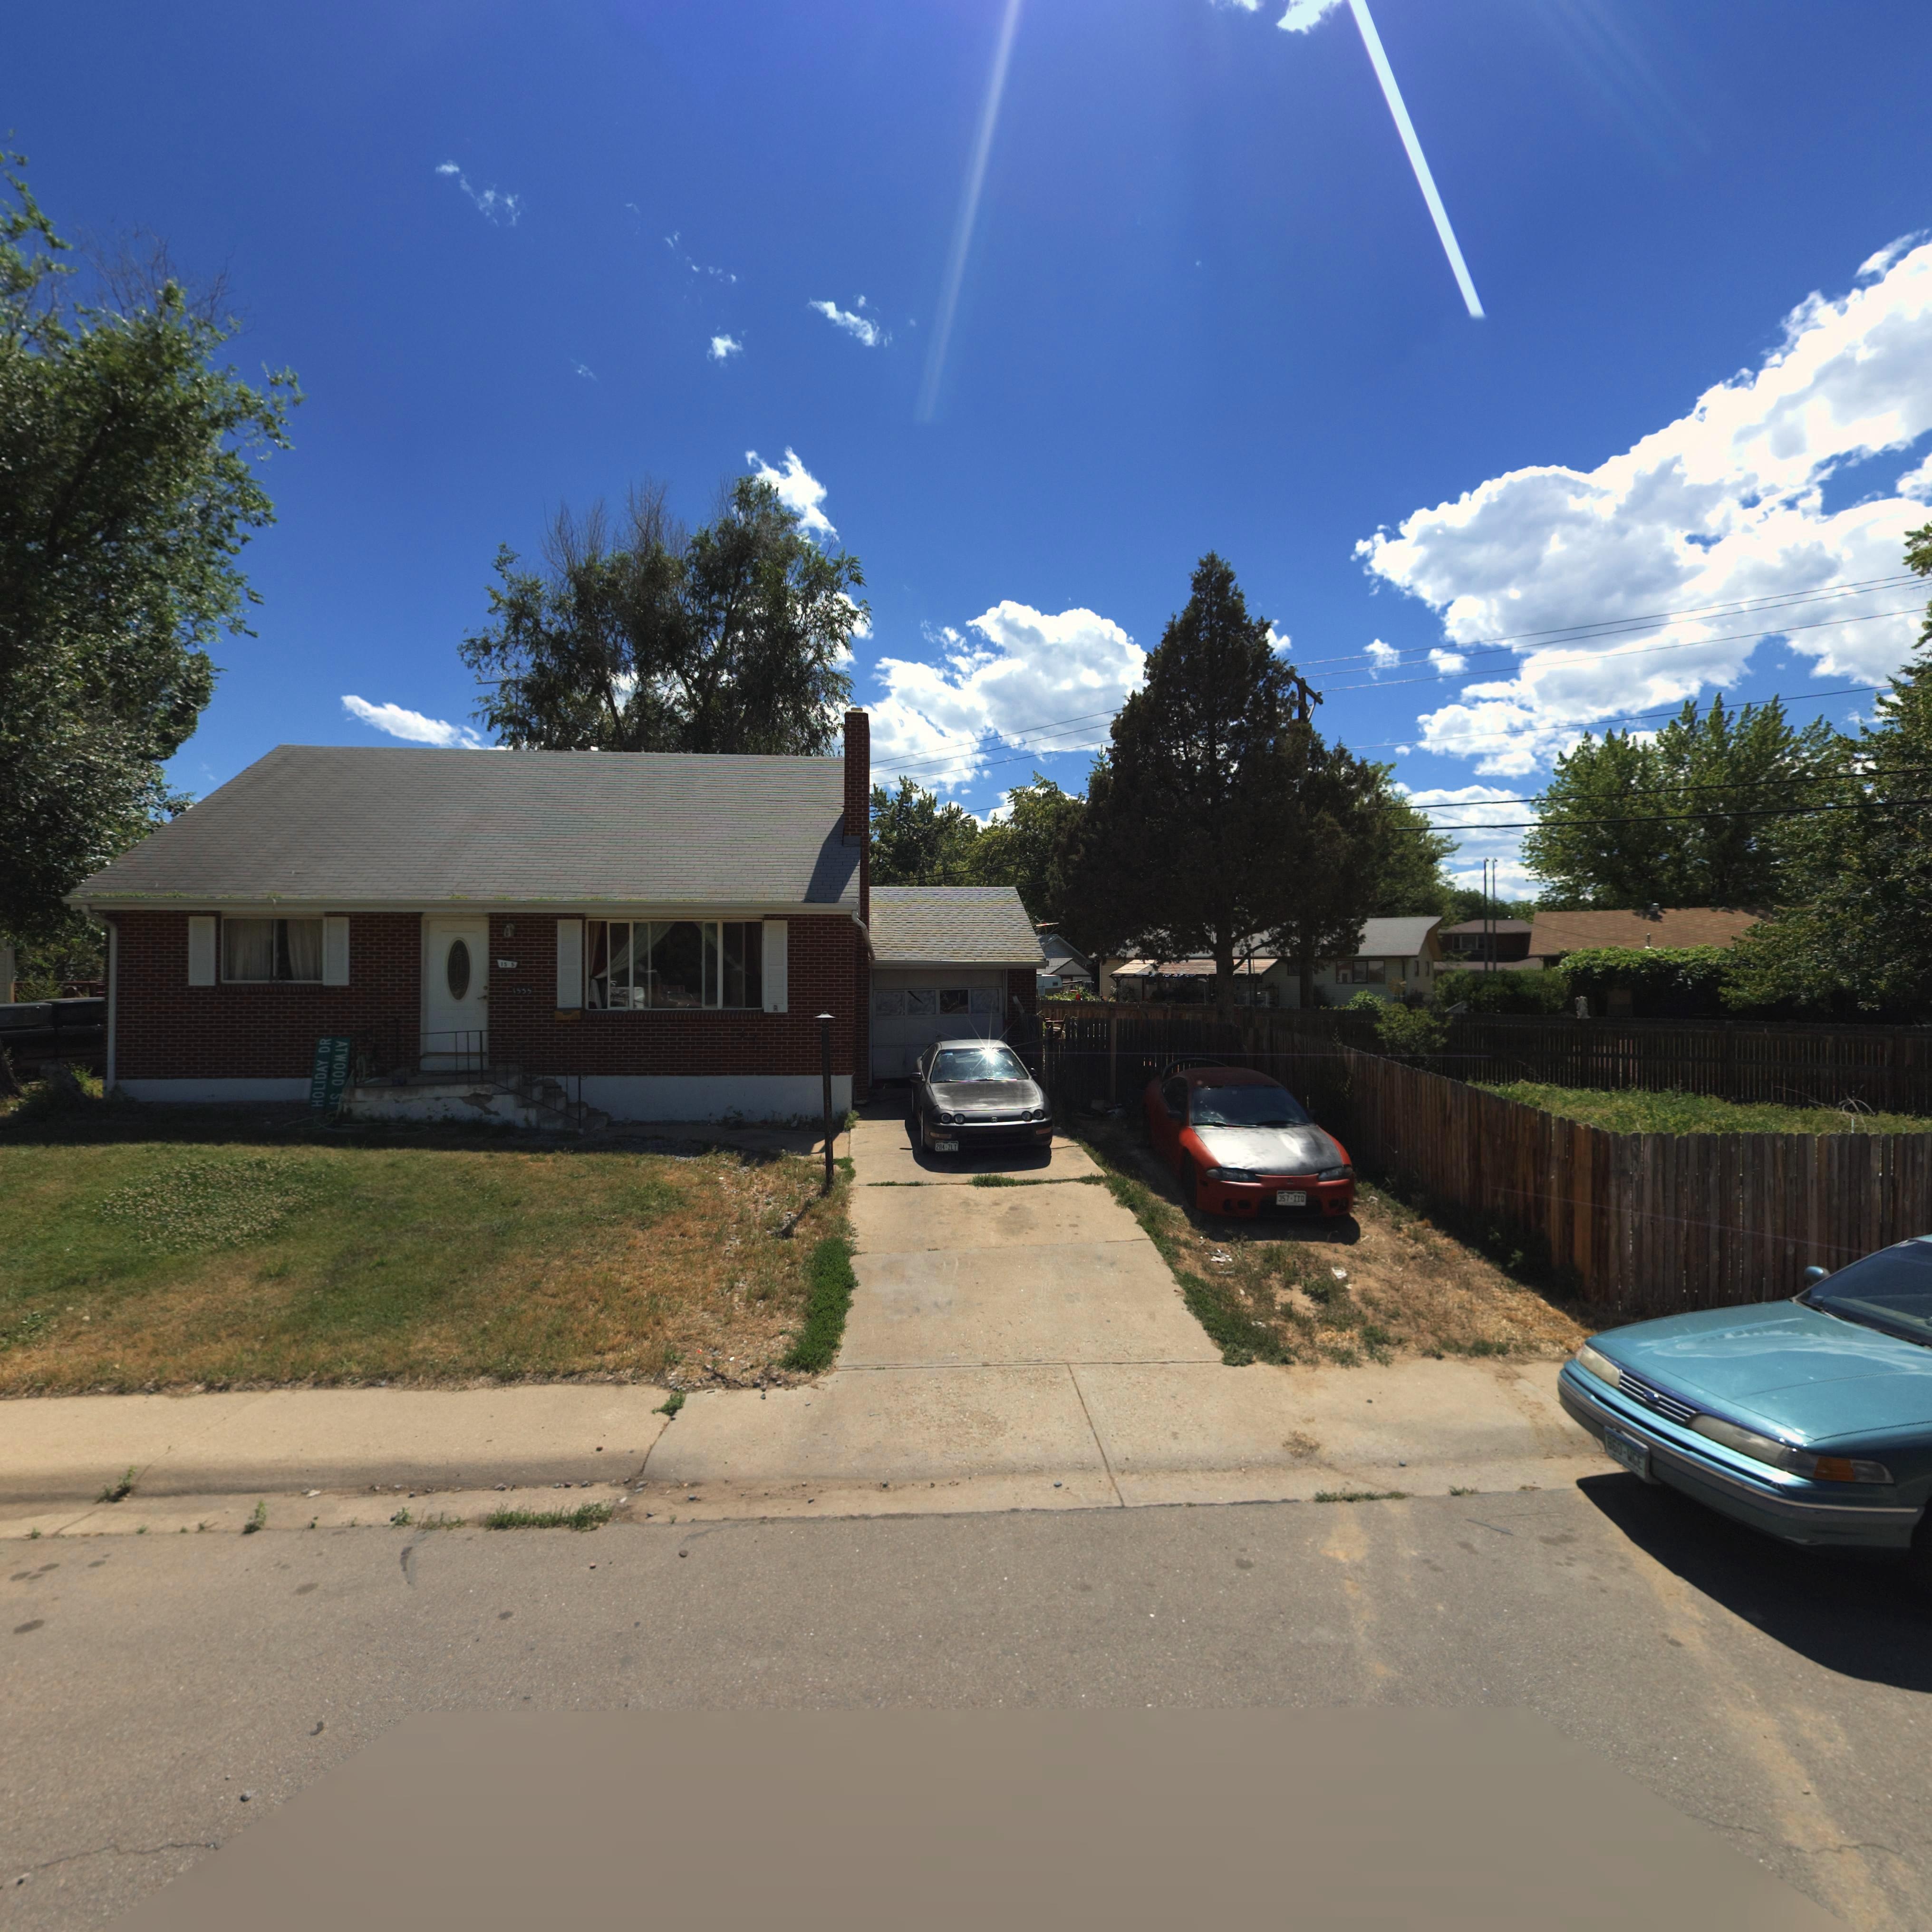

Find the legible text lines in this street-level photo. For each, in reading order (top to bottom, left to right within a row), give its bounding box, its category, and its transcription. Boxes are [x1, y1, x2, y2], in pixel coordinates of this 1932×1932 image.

[500, 961, 515, 967] StreetNumber: 15 5
[512, 986, 532, 995] StreetNumber: 15*5